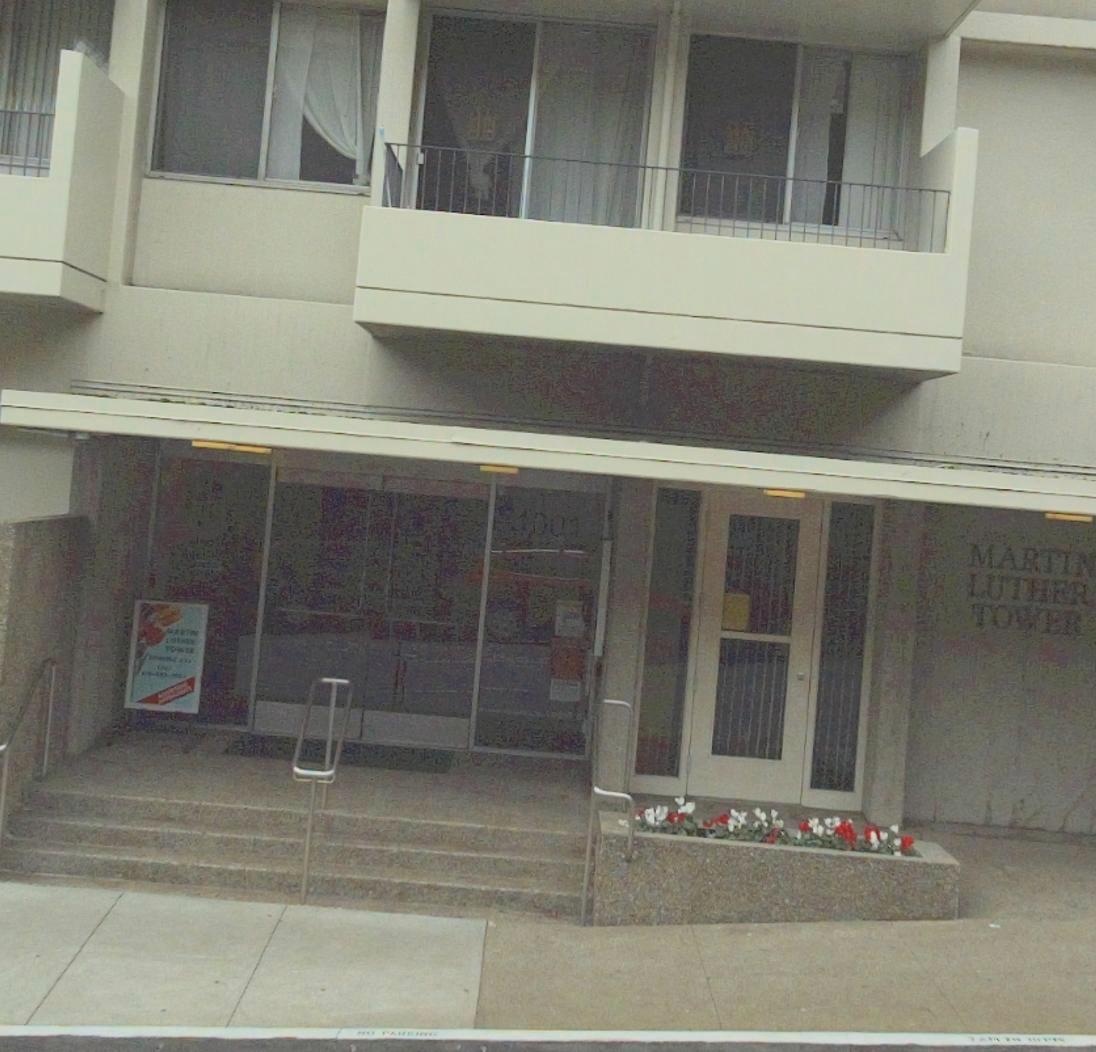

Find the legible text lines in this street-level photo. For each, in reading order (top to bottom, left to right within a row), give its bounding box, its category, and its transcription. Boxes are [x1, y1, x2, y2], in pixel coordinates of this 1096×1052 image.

[516, 507, 580, 541] StreetNumber: 1001
[968, 541, 1076, 578] None: MARTIN
[967, 572, 1093, 609] None: LUTHER
[971, 602, 1084, 638] None: TOWER